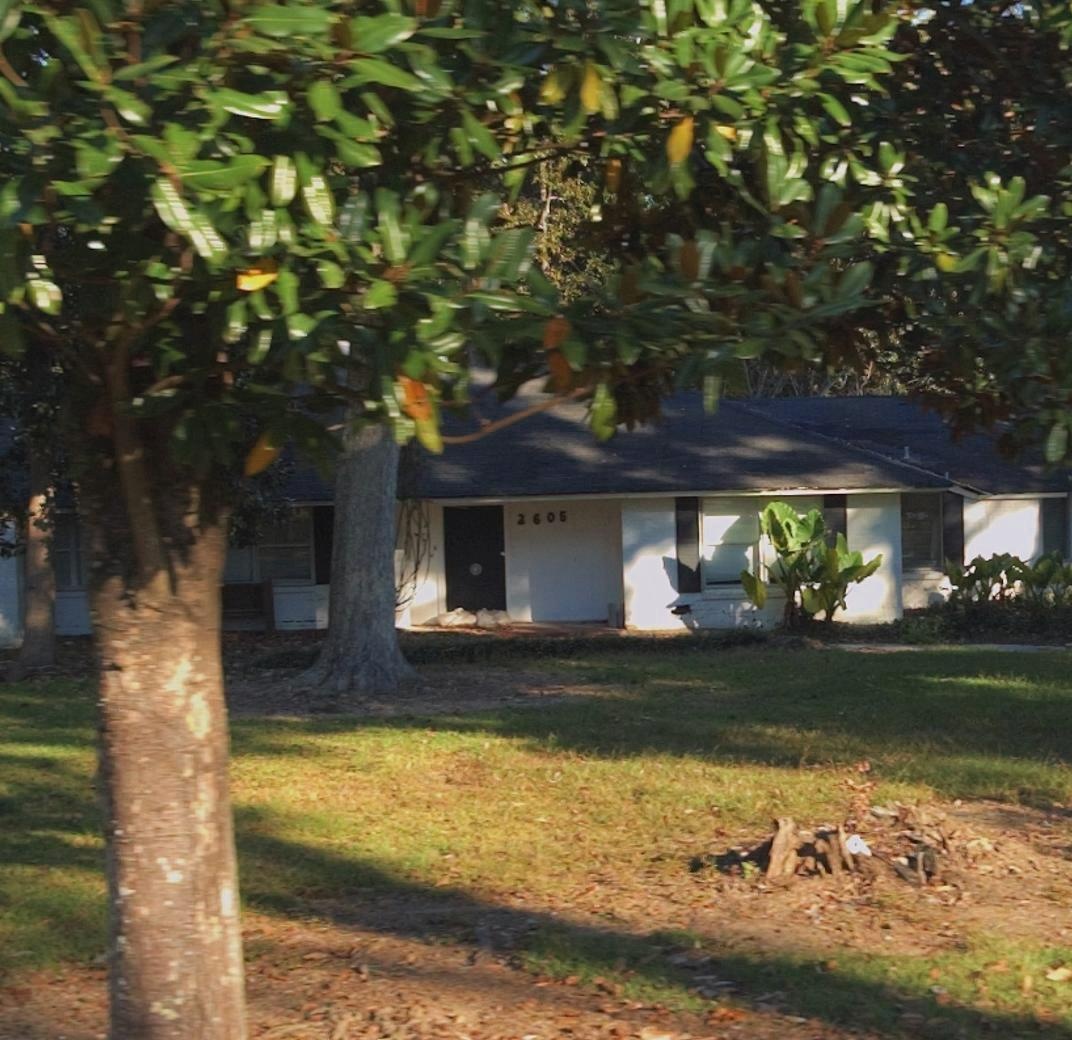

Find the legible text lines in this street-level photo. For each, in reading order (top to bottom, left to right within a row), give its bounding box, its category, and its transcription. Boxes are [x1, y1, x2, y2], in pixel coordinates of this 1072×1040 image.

[516, 509, 568, 526] StreetNumber: 2605